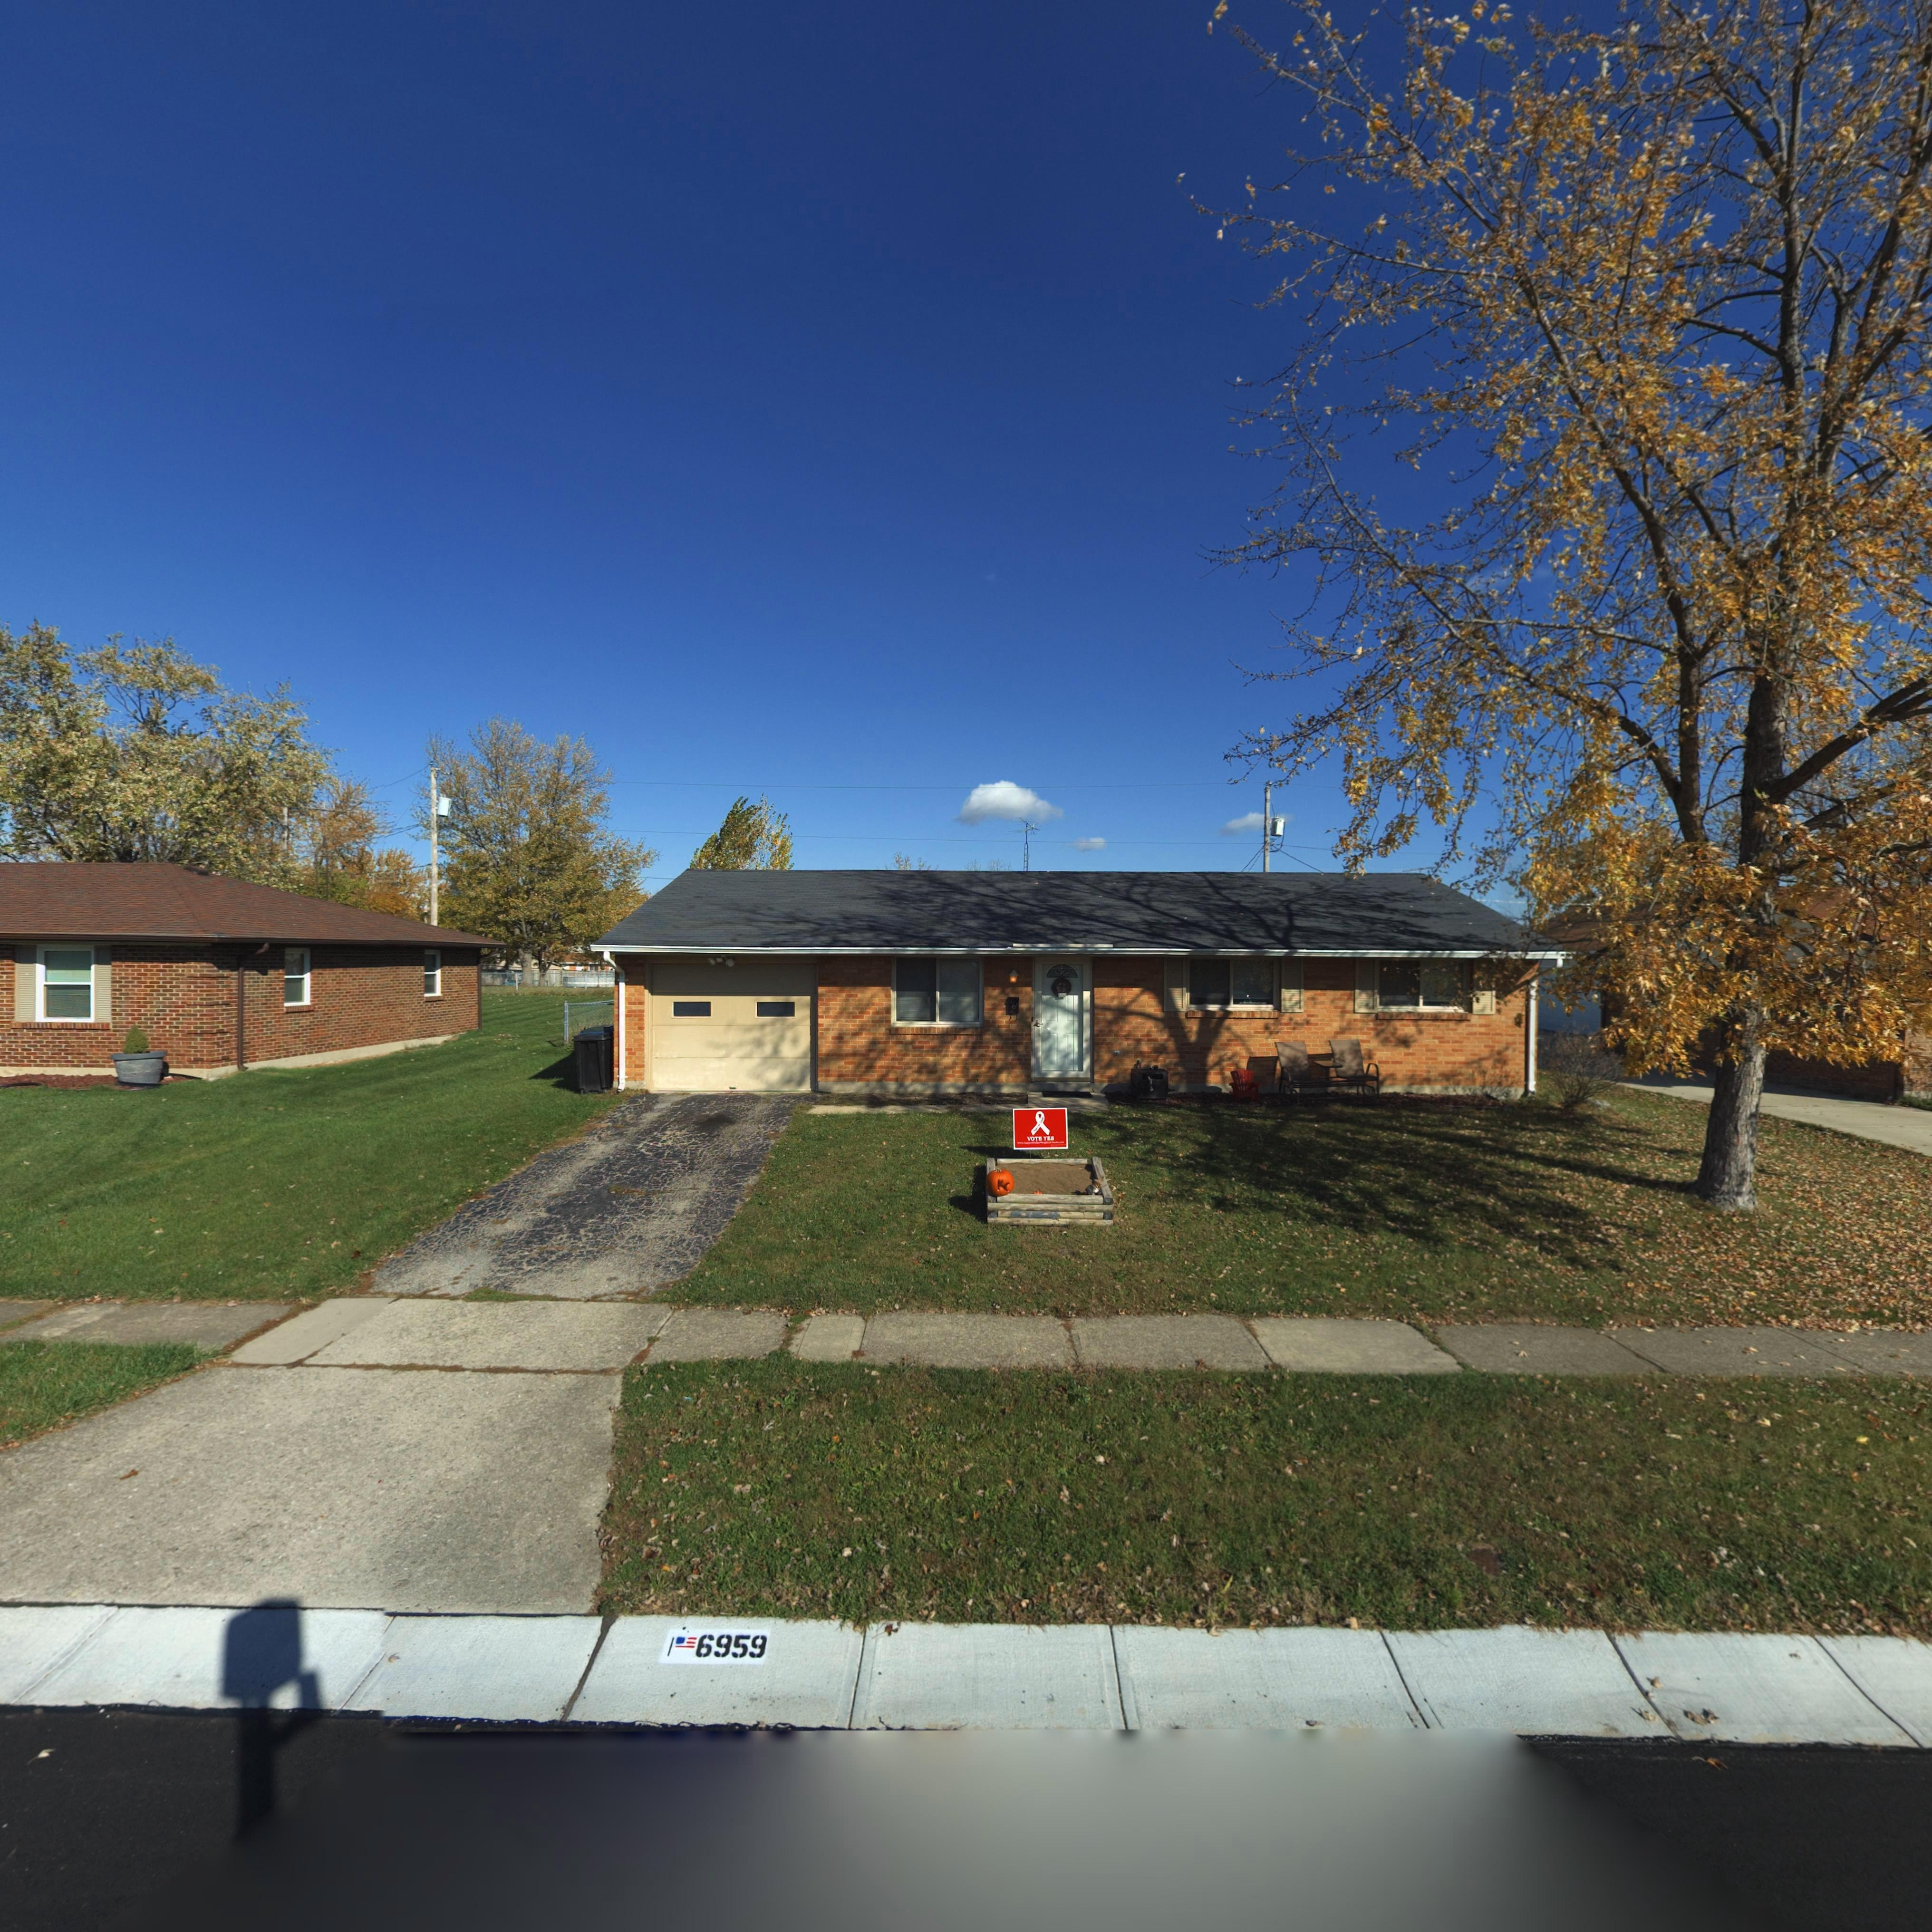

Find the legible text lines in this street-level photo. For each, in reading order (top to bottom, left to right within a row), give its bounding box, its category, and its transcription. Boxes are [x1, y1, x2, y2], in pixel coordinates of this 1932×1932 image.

[694, 1634, 768, 1659] StreetNumber: 6959